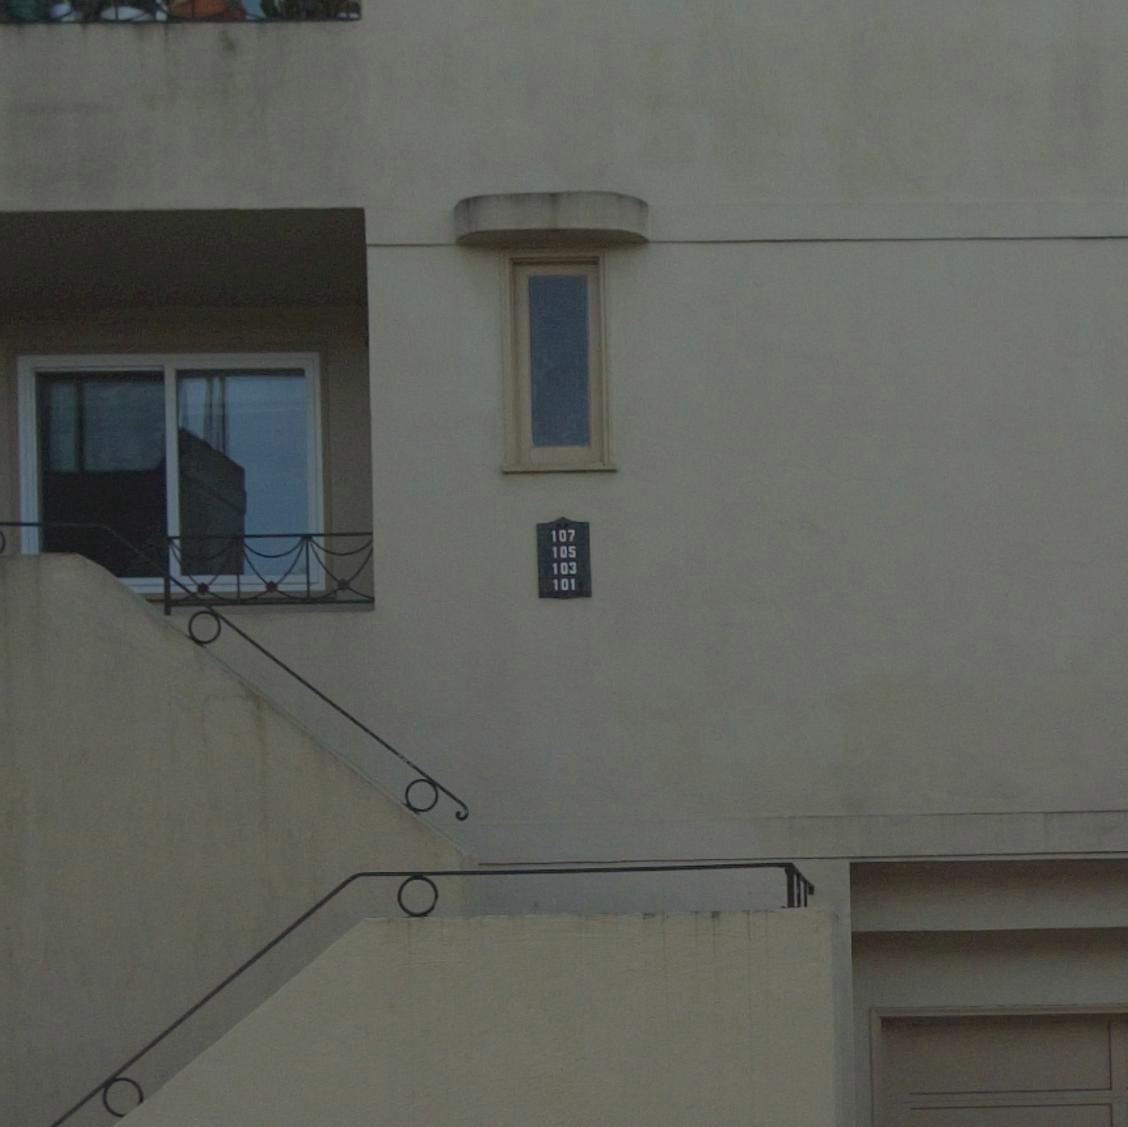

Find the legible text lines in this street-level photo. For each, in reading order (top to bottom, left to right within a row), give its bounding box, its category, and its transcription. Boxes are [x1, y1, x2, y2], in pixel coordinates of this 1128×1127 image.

[549, 527, 578, 544] StreetNumber: 107
[549, 543, 578, 561] StreetNumber: 105
[550, 560, 580, 577] StreetNumber: 103
[550, 575, 579, 594] StreetNumber: 101